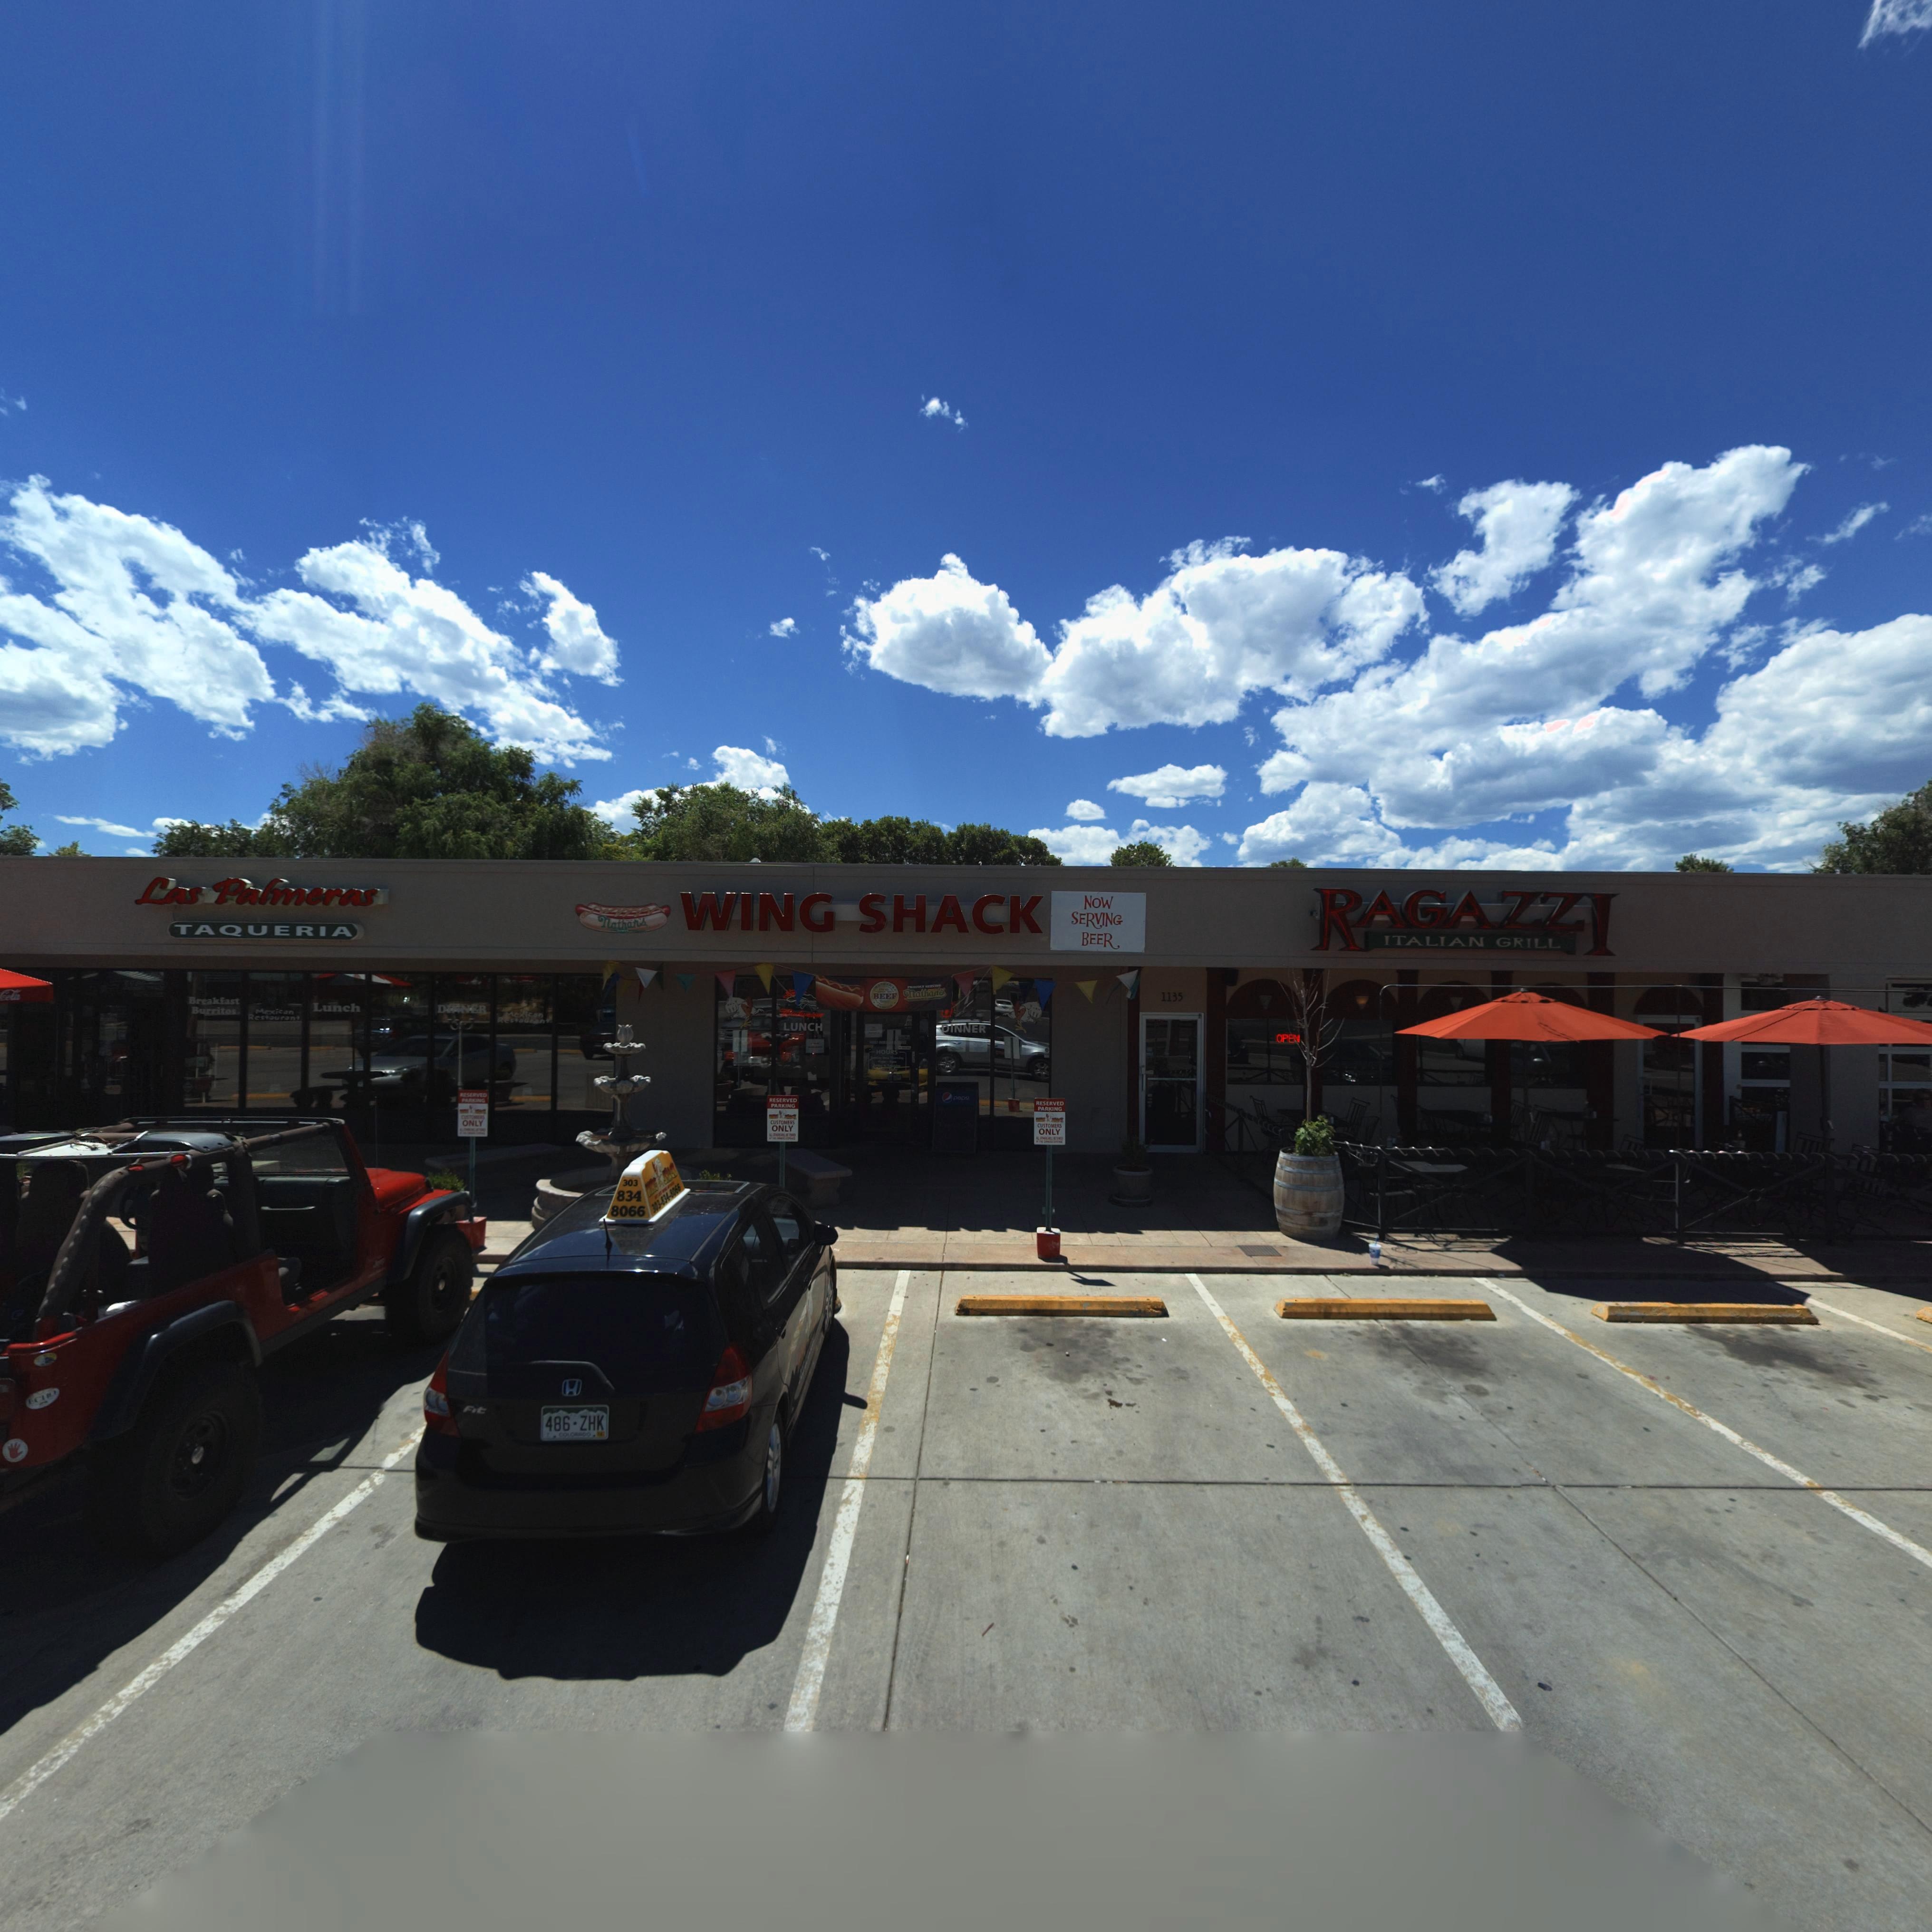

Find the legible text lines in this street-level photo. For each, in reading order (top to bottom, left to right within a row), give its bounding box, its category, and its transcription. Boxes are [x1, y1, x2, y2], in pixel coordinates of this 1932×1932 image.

[134, 876, 380, 907] BusinessName: Las Palmeras
[678, 890, 1044, 934] BusinessName: WING SHACK
[596, 914, 647, 929] BusinessName: Nathan*S
[1309, 887, 1621, 957] BusinessName: RAGAZZI
[173, 923, 354, 937] BusinessName: TAQUERIA
[1382, 935, 1561, 949] BusinessName: ITALIAN GRILL
[903, 987, 946, 998] BusinessName: Nathan*S
[1161, 992, 1183, 1002] StreetNumber: 1135